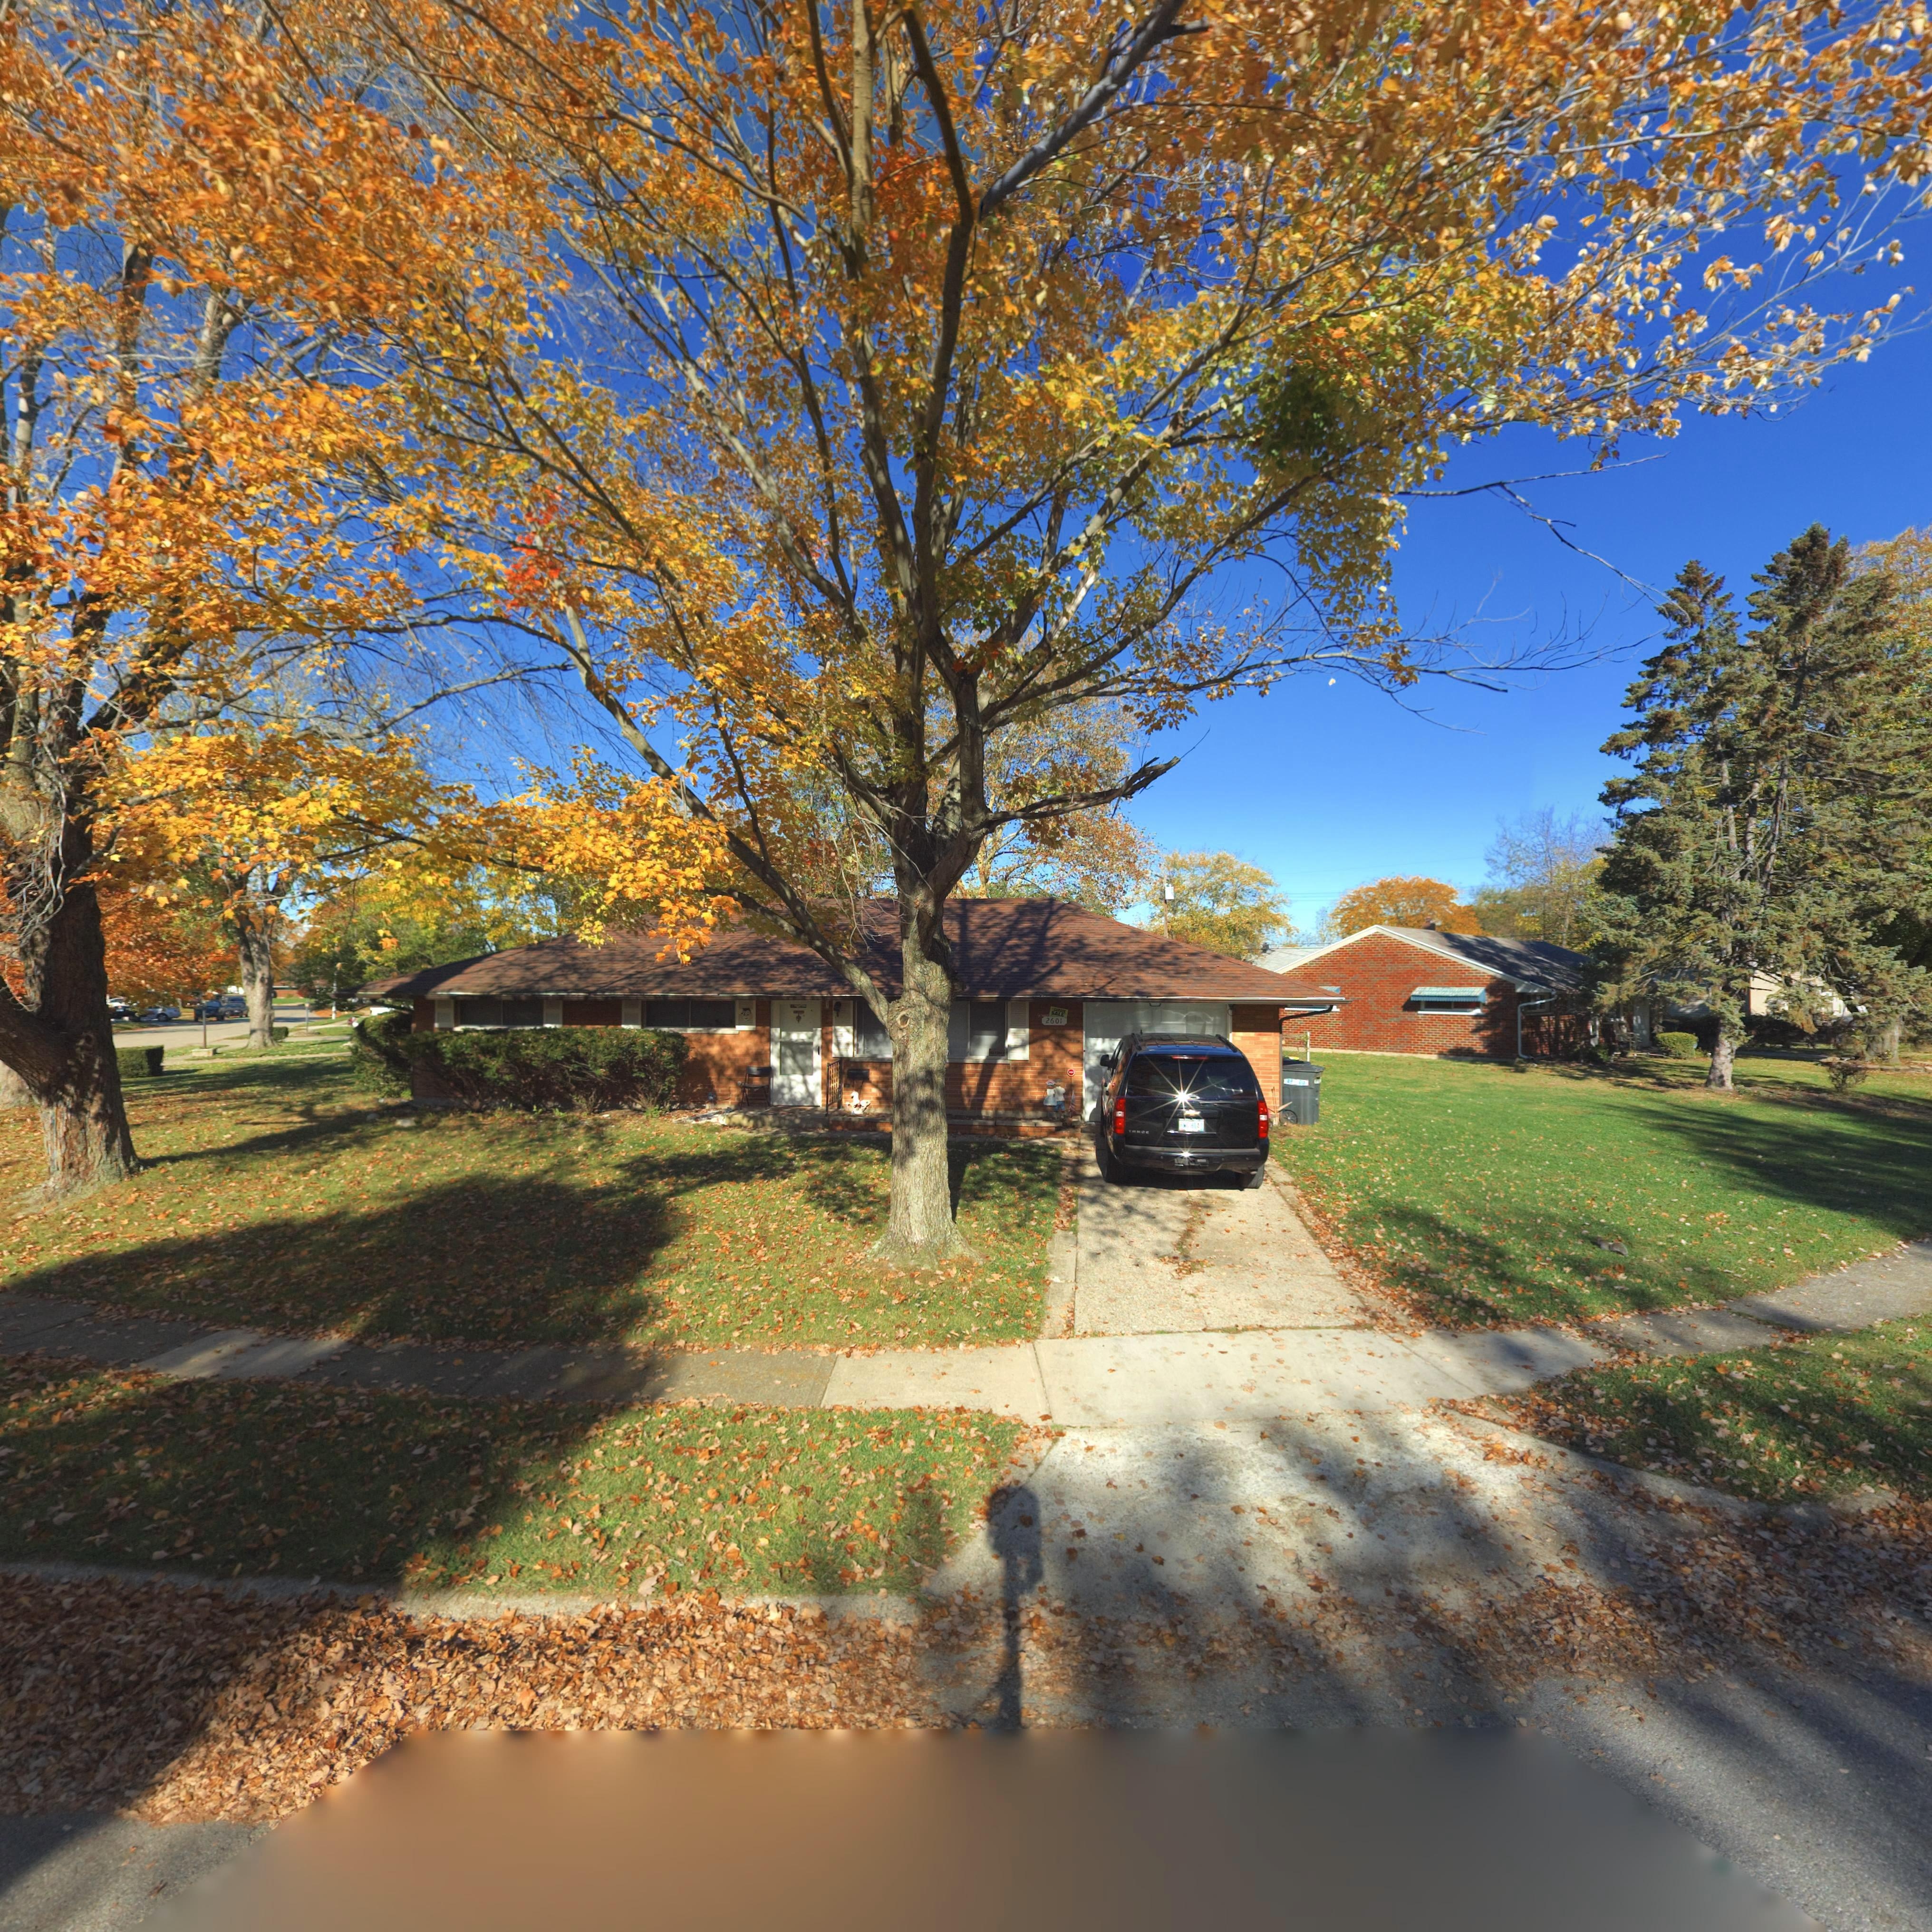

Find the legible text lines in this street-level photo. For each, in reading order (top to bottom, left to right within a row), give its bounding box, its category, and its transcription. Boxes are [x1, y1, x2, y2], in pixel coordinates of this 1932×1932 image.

[1044, 1016, 1063, 1025] StreetNumber: 2601